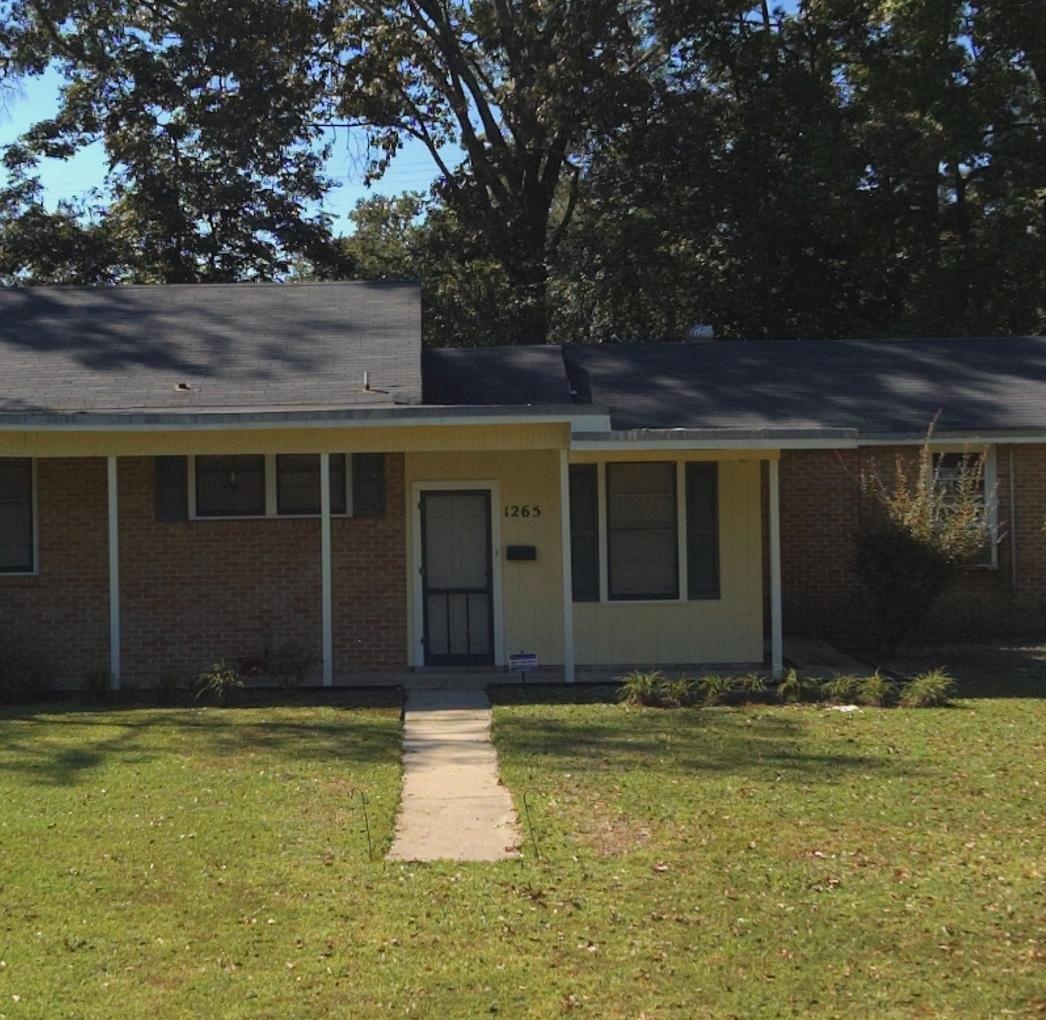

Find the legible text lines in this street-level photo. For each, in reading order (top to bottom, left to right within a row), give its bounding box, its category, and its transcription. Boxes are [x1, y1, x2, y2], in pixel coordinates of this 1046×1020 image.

[502, 503, 542, 519] StreetNumber: 1265